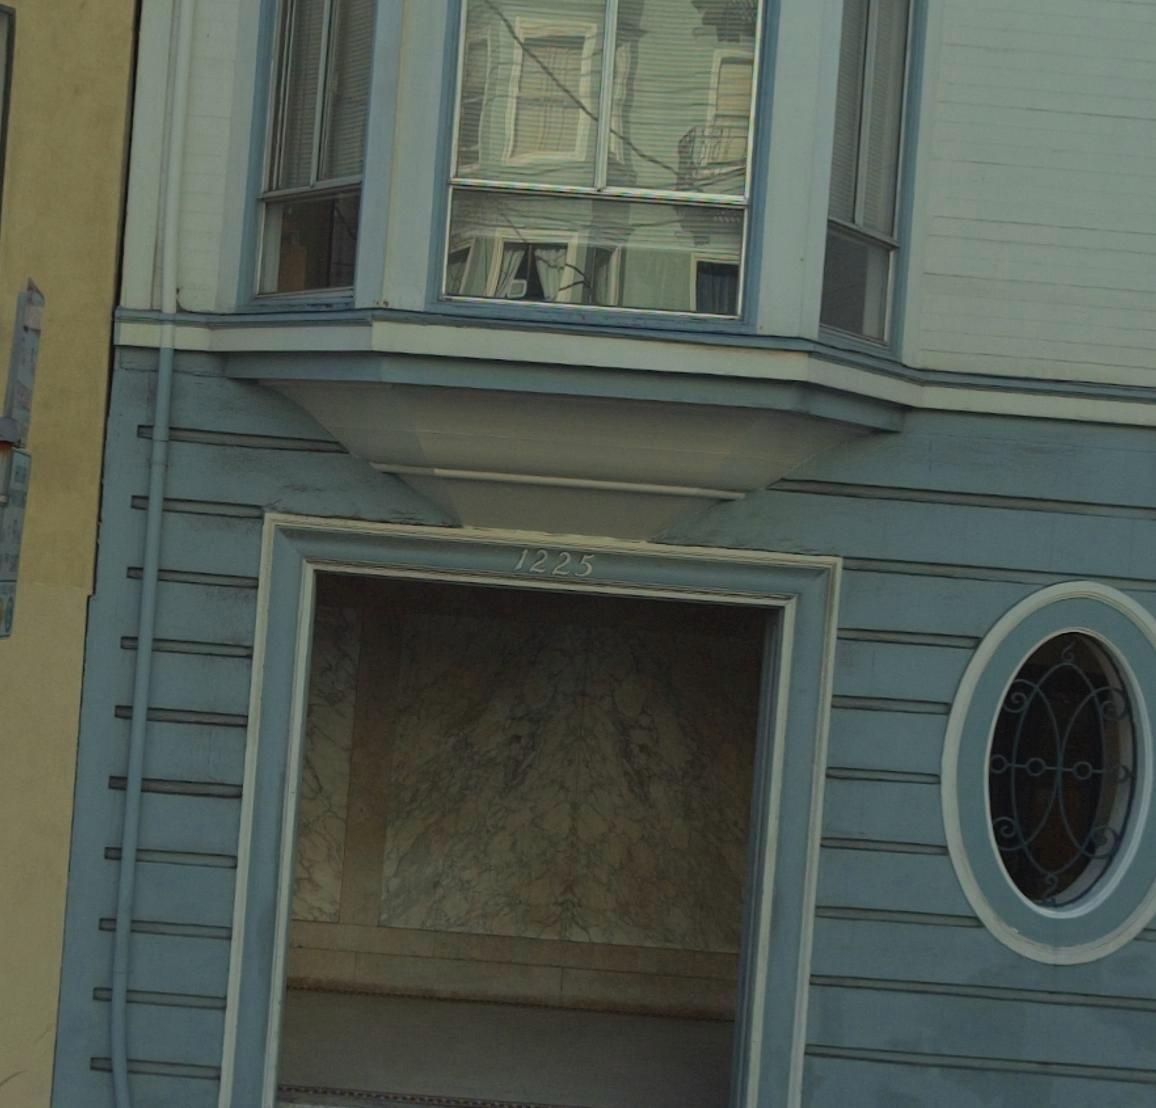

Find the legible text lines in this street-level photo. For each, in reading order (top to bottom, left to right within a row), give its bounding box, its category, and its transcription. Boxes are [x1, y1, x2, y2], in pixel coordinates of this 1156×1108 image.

[508, 546, 597, 579] StreetNumber: 1225